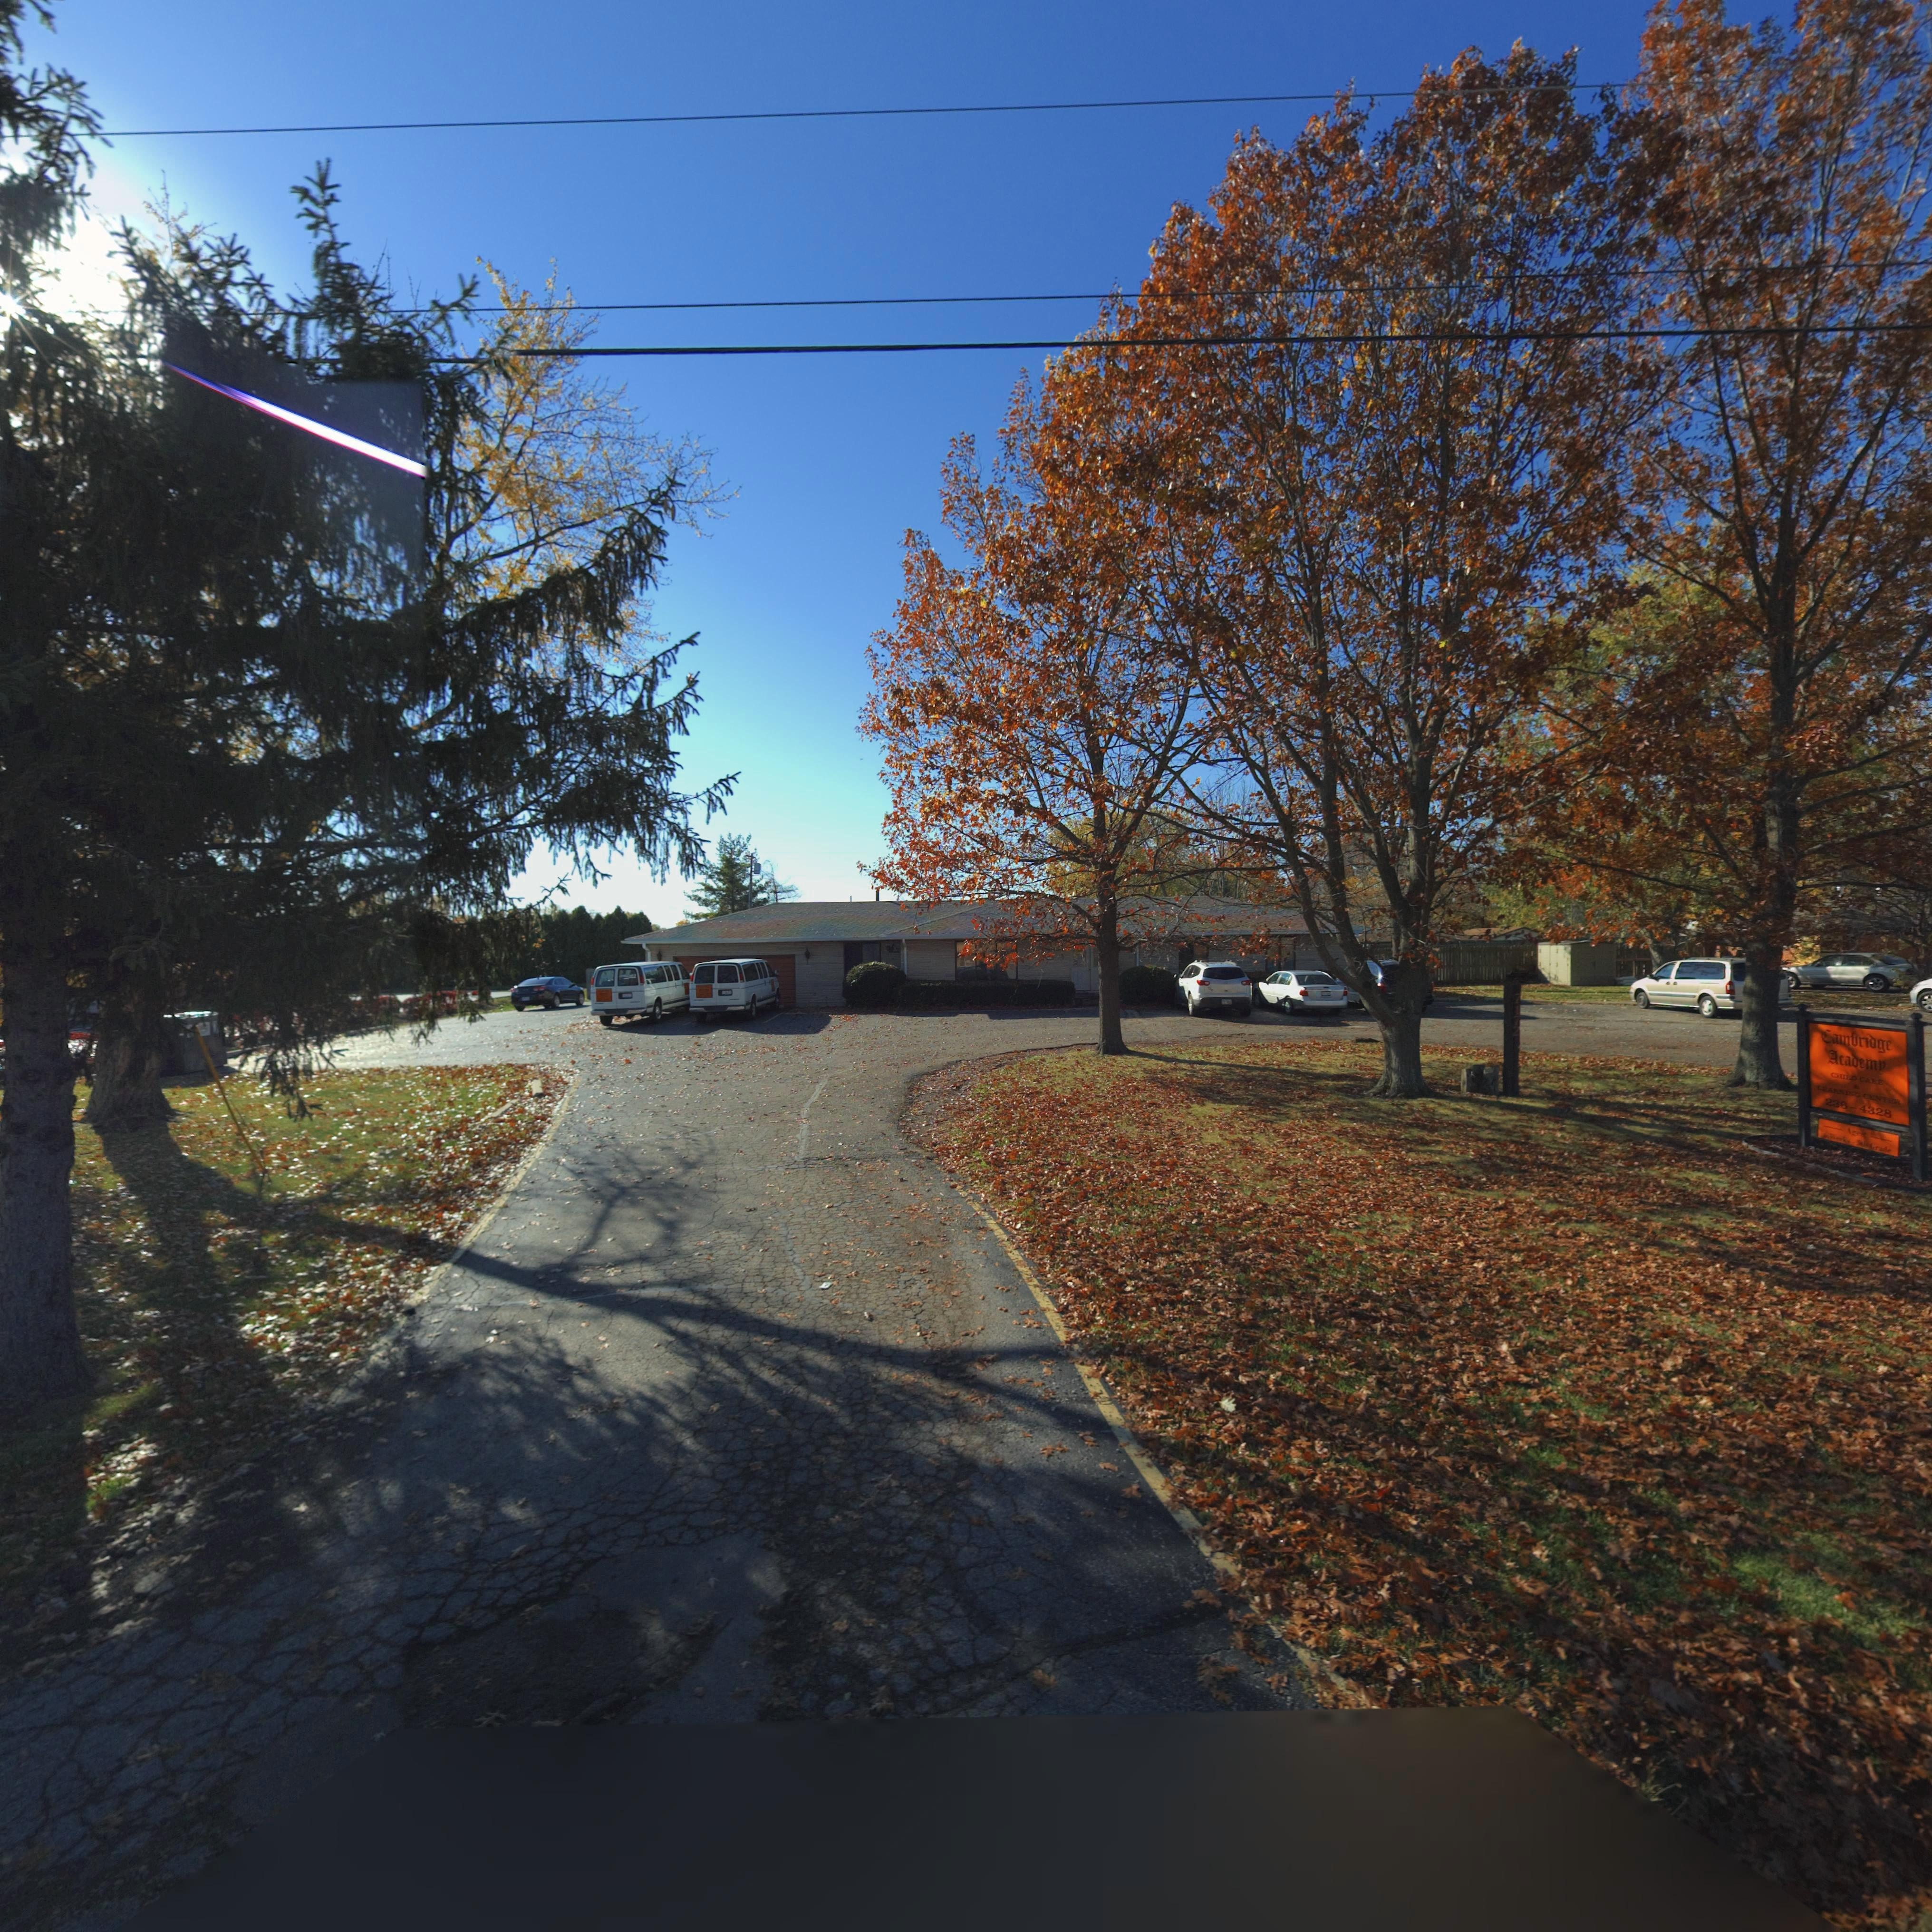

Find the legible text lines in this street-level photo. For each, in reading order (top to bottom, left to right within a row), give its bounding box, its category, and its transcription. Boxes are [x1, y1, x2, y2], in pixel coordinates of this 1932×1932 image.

[1511, 992, 1522, 1038] StreetNumber: 7172
[1820, 1028, 1893, 1054] BusinessName: Cambridge
[1826, 1049, 1887, 1075] BusinessName: Academy
[1830, 1071, 1884, 1086] BusinessName: CHILD CARE
[1816, 1084, 1902, 1106] BusinessName: LEARNING CENTER